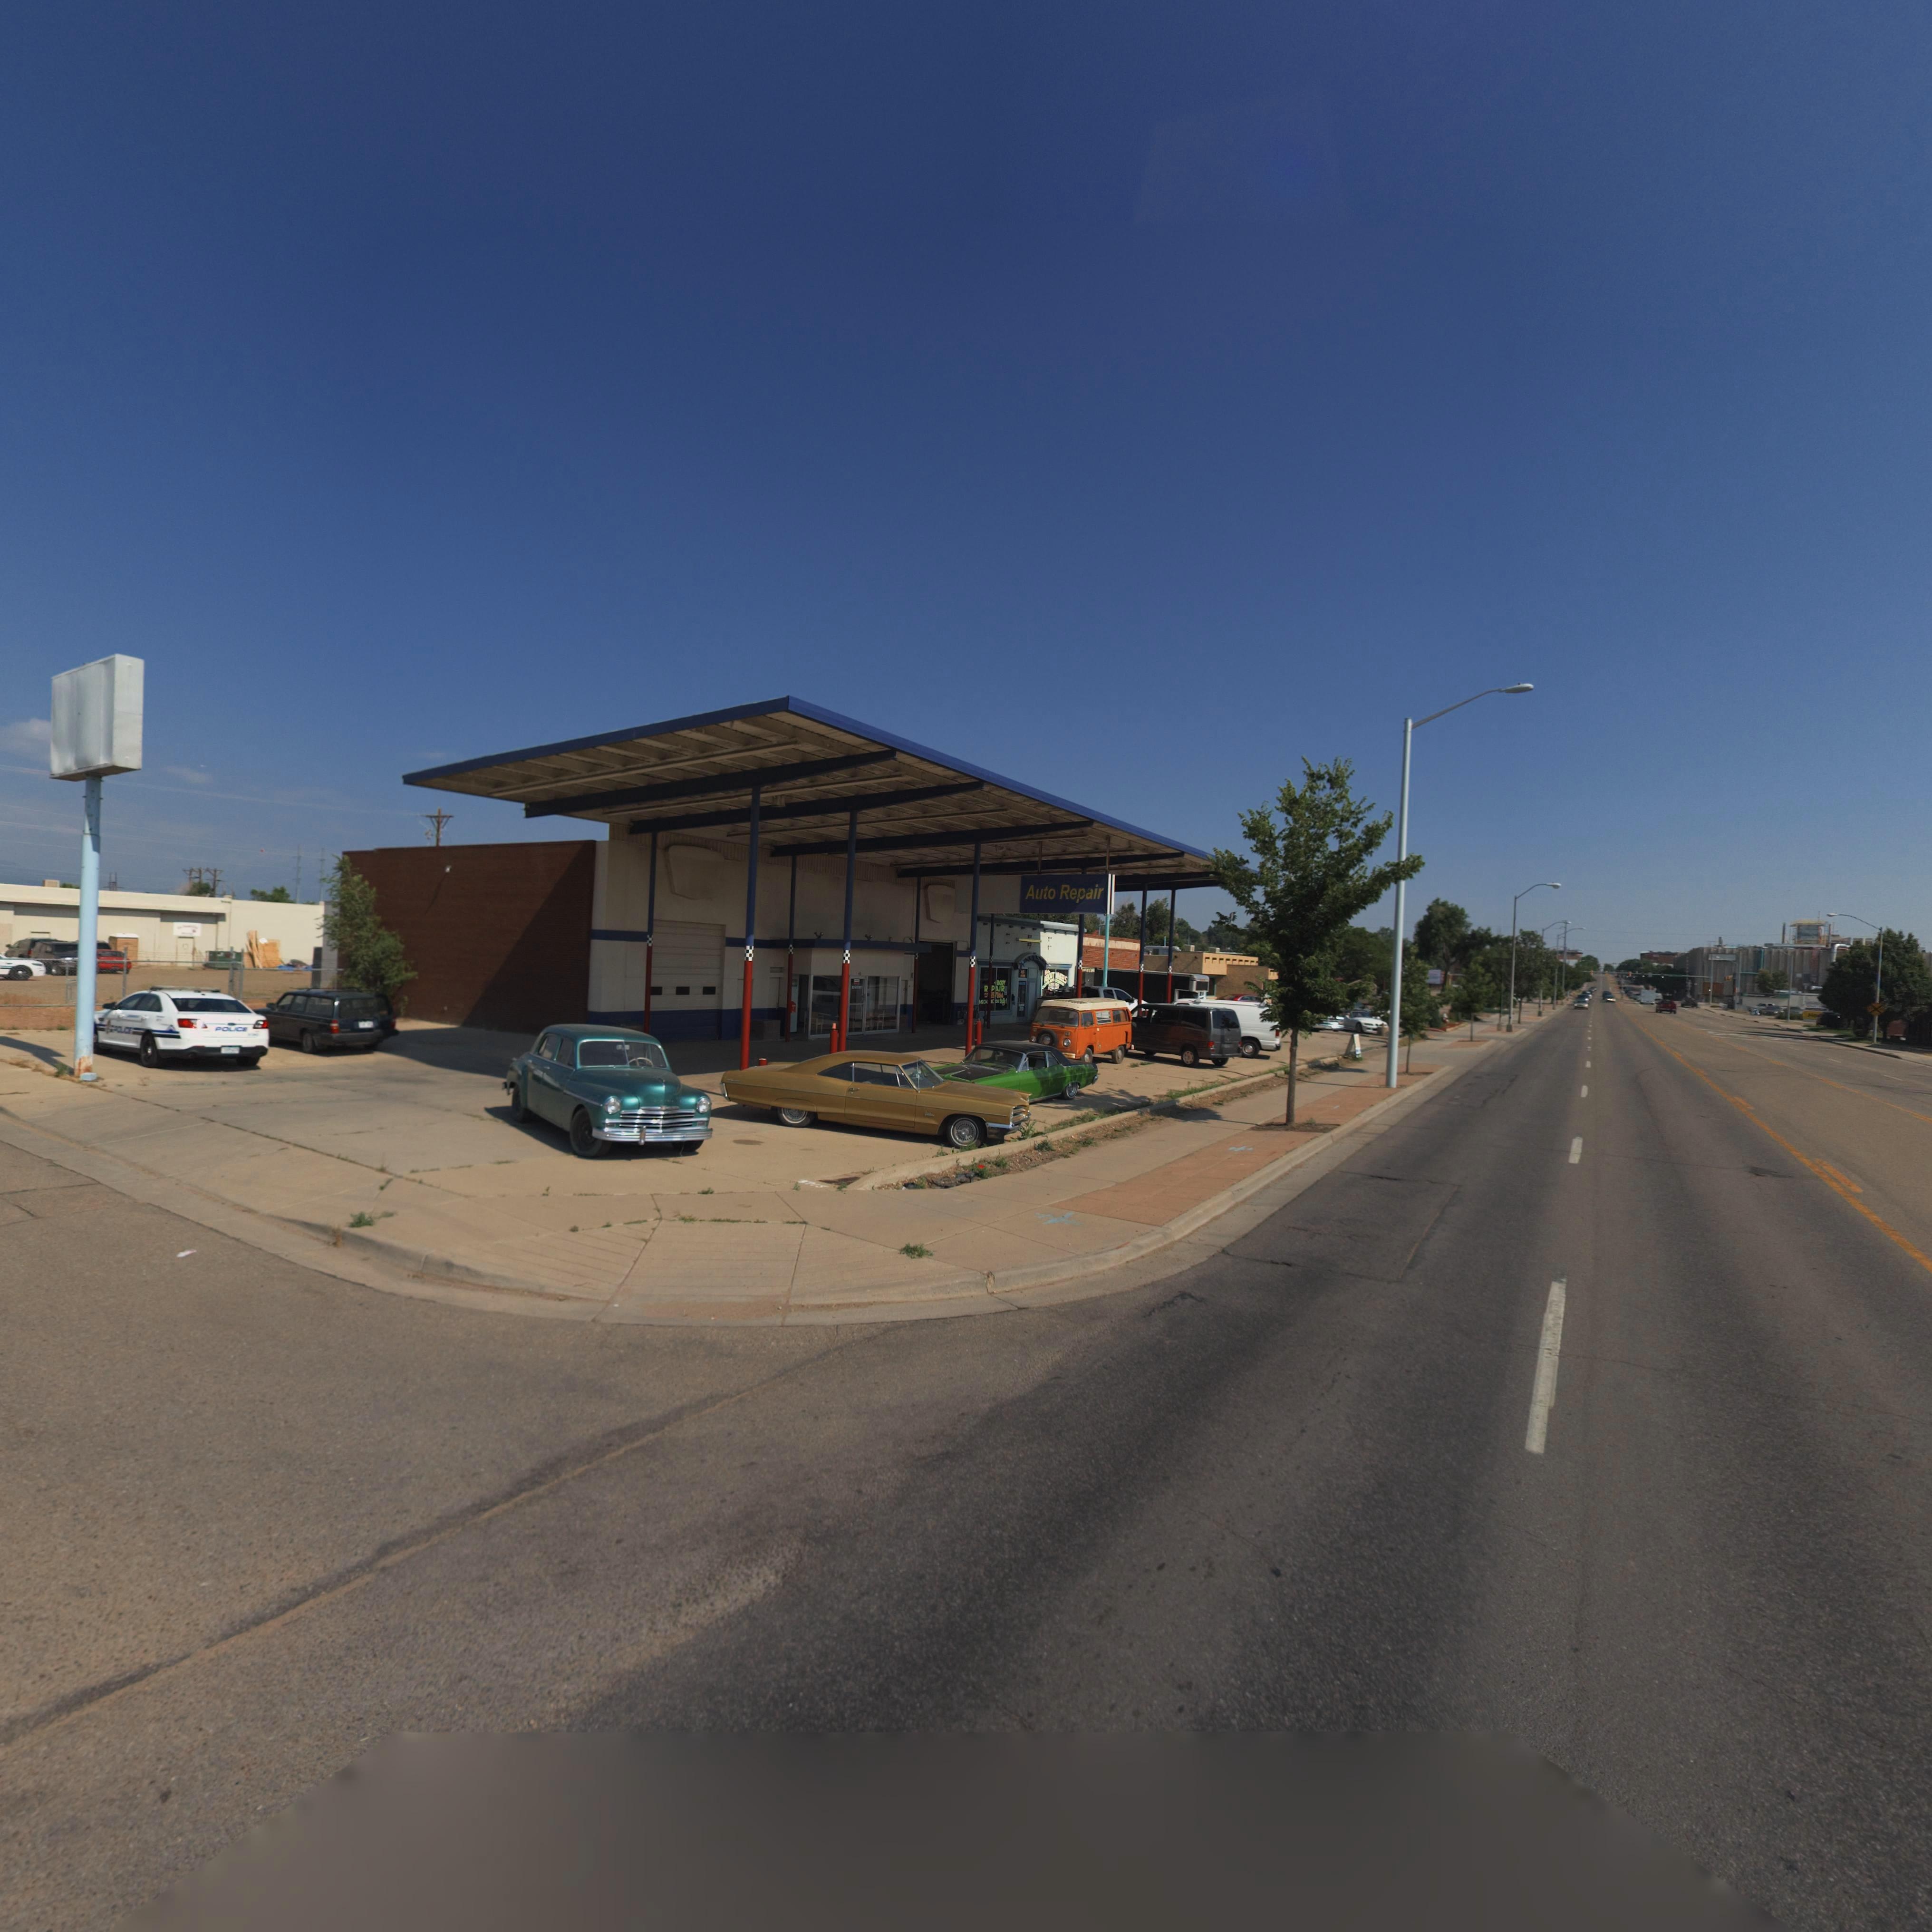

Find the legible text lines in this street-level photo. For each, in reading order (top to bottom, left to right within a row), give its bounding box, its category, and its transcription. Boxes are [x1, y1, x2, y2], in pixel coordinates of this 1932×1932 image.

[1020, 970, 1023, 975] StreetNumber: 41
[1023, 970, 1024, 974] StreetName: S
[1044, 969, 1051, 976] BusinessName: ALL
[1043, 971, 1067, 984] BusinessName: ABOUT WHEELS